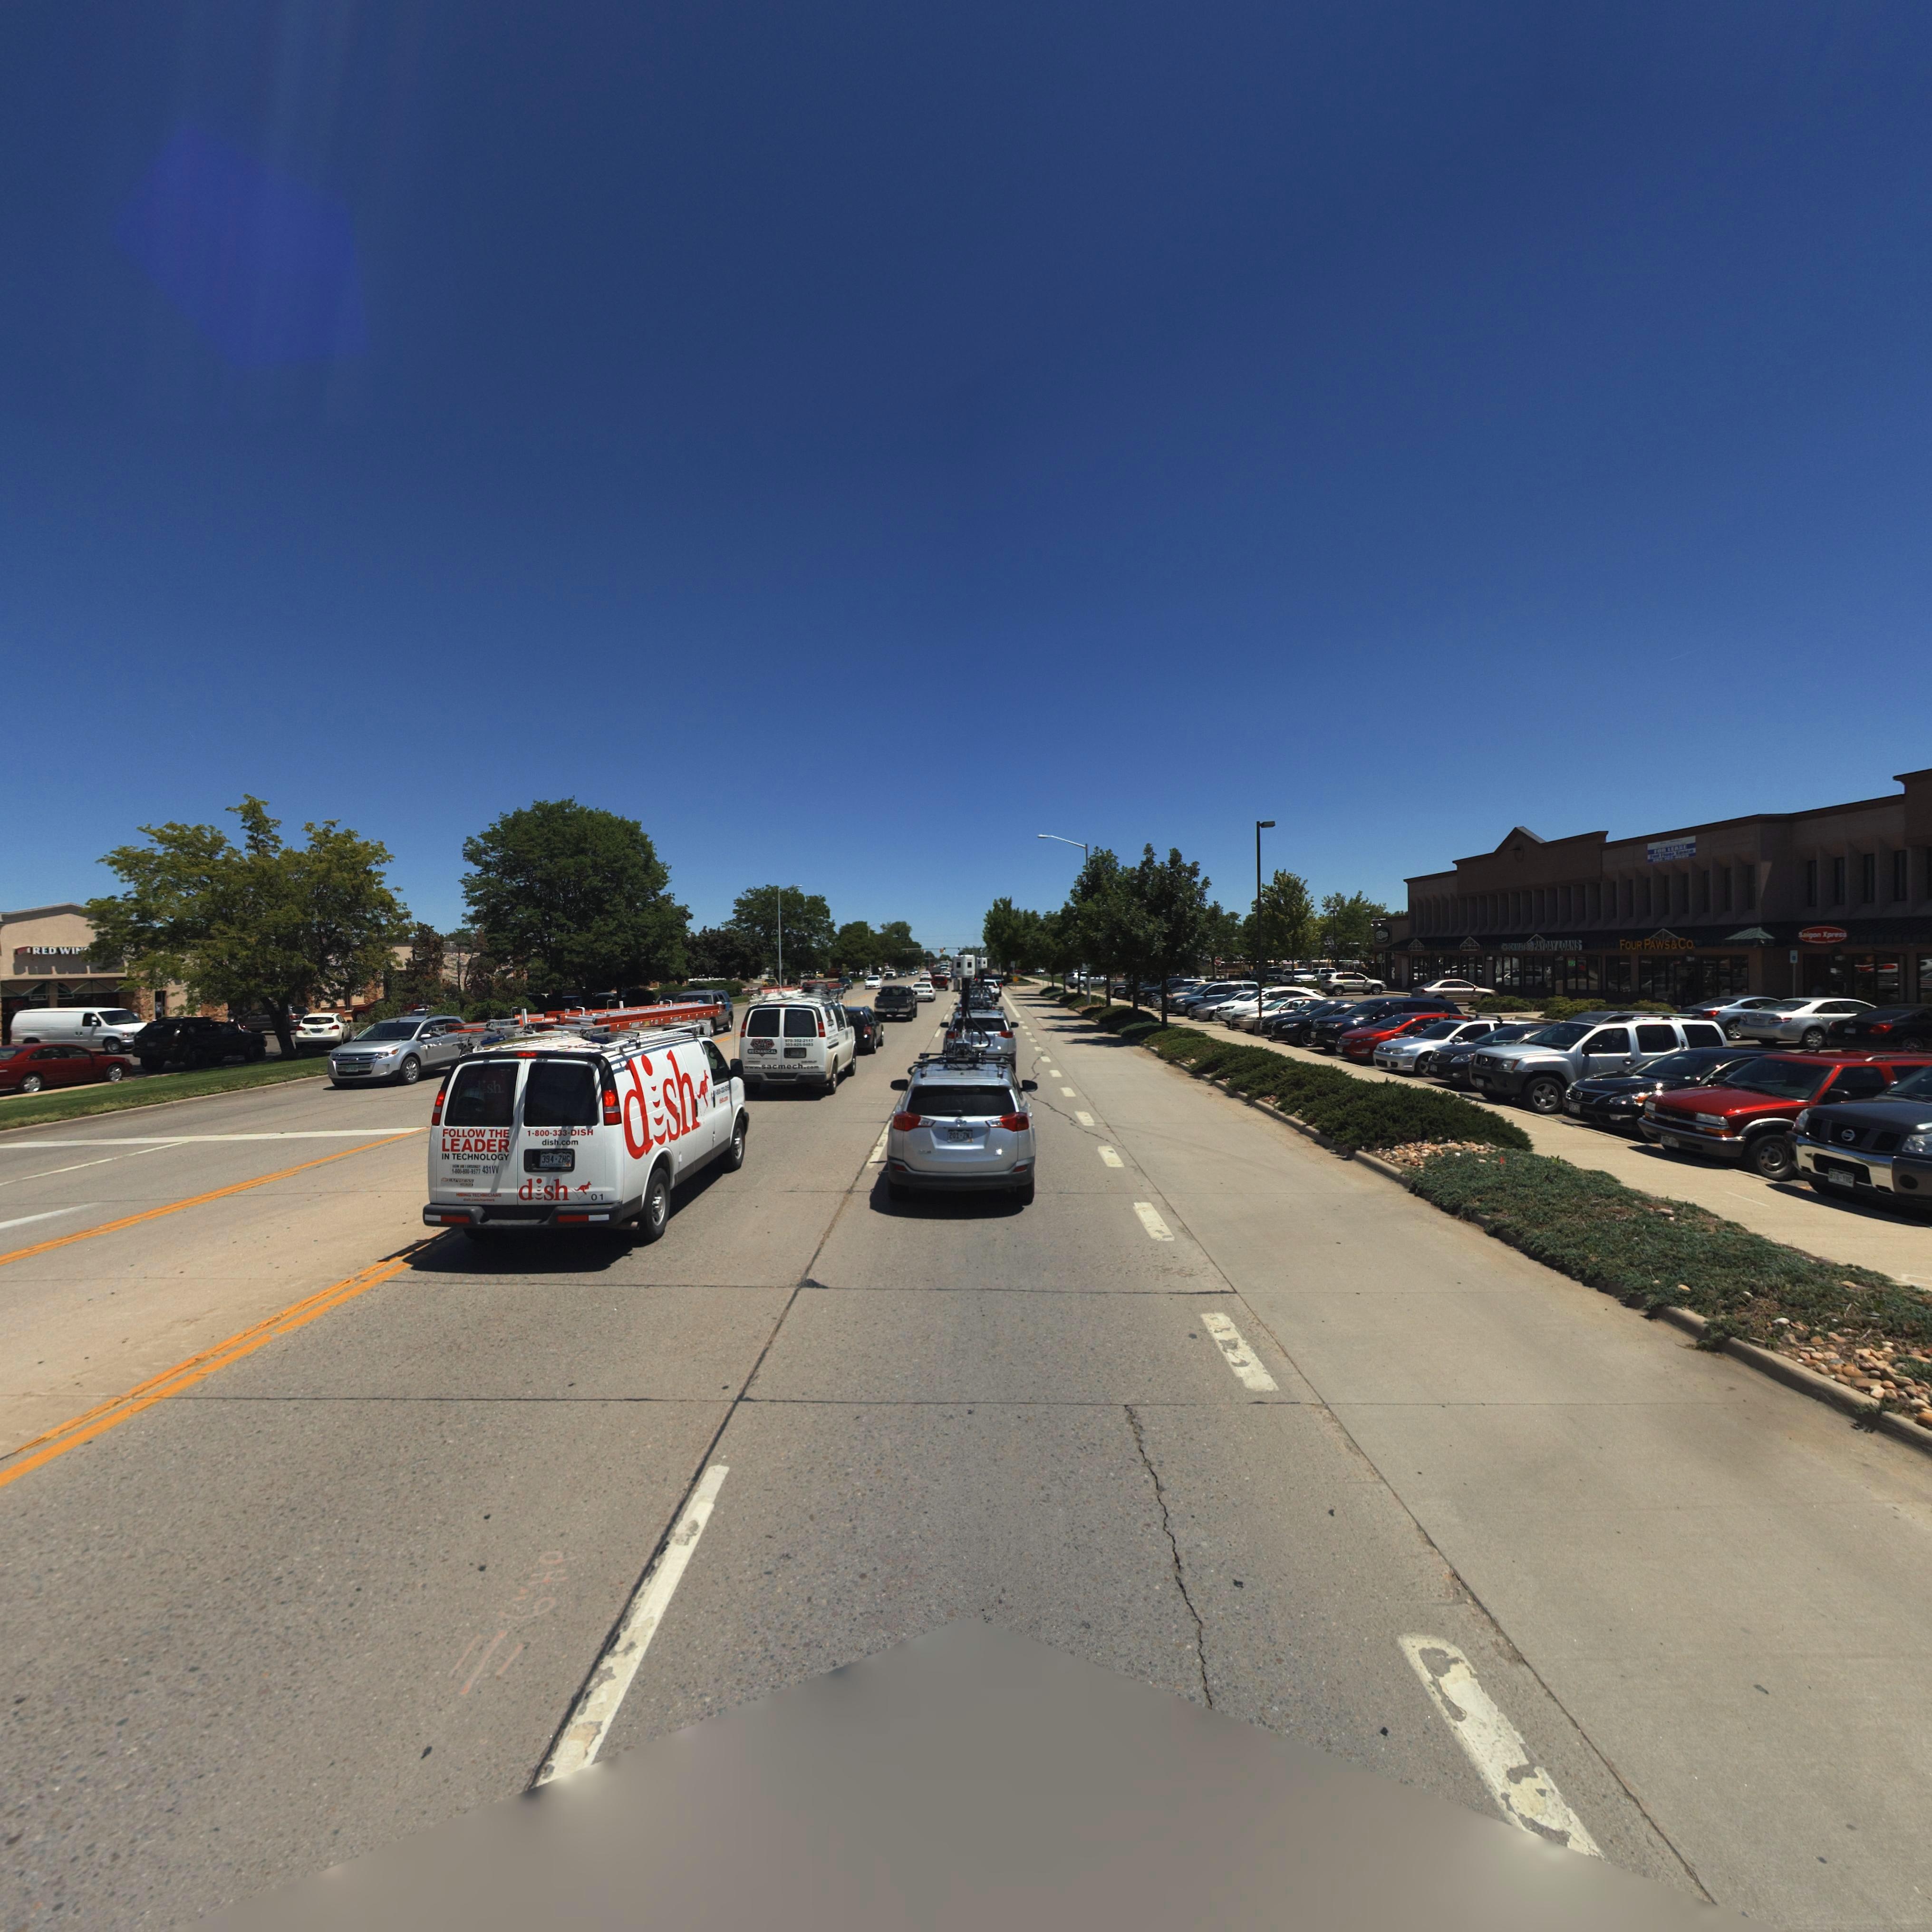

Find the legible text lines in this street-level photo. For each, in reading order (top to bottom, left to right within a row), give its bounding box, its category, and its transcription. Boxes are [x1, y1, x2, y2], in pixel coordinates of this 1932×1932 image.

[1797, 931, 1847, 939] BusinessName: Saigon Xpress
[32, 945, 92, 955] BusinessName: RED WI**
[1499, 939, 1580, 951] BusinessName: CHECKMATE * PAYDAY LOANS
[1619, 937, 1693, 950] BusinessName: FOUR PAWS*CO